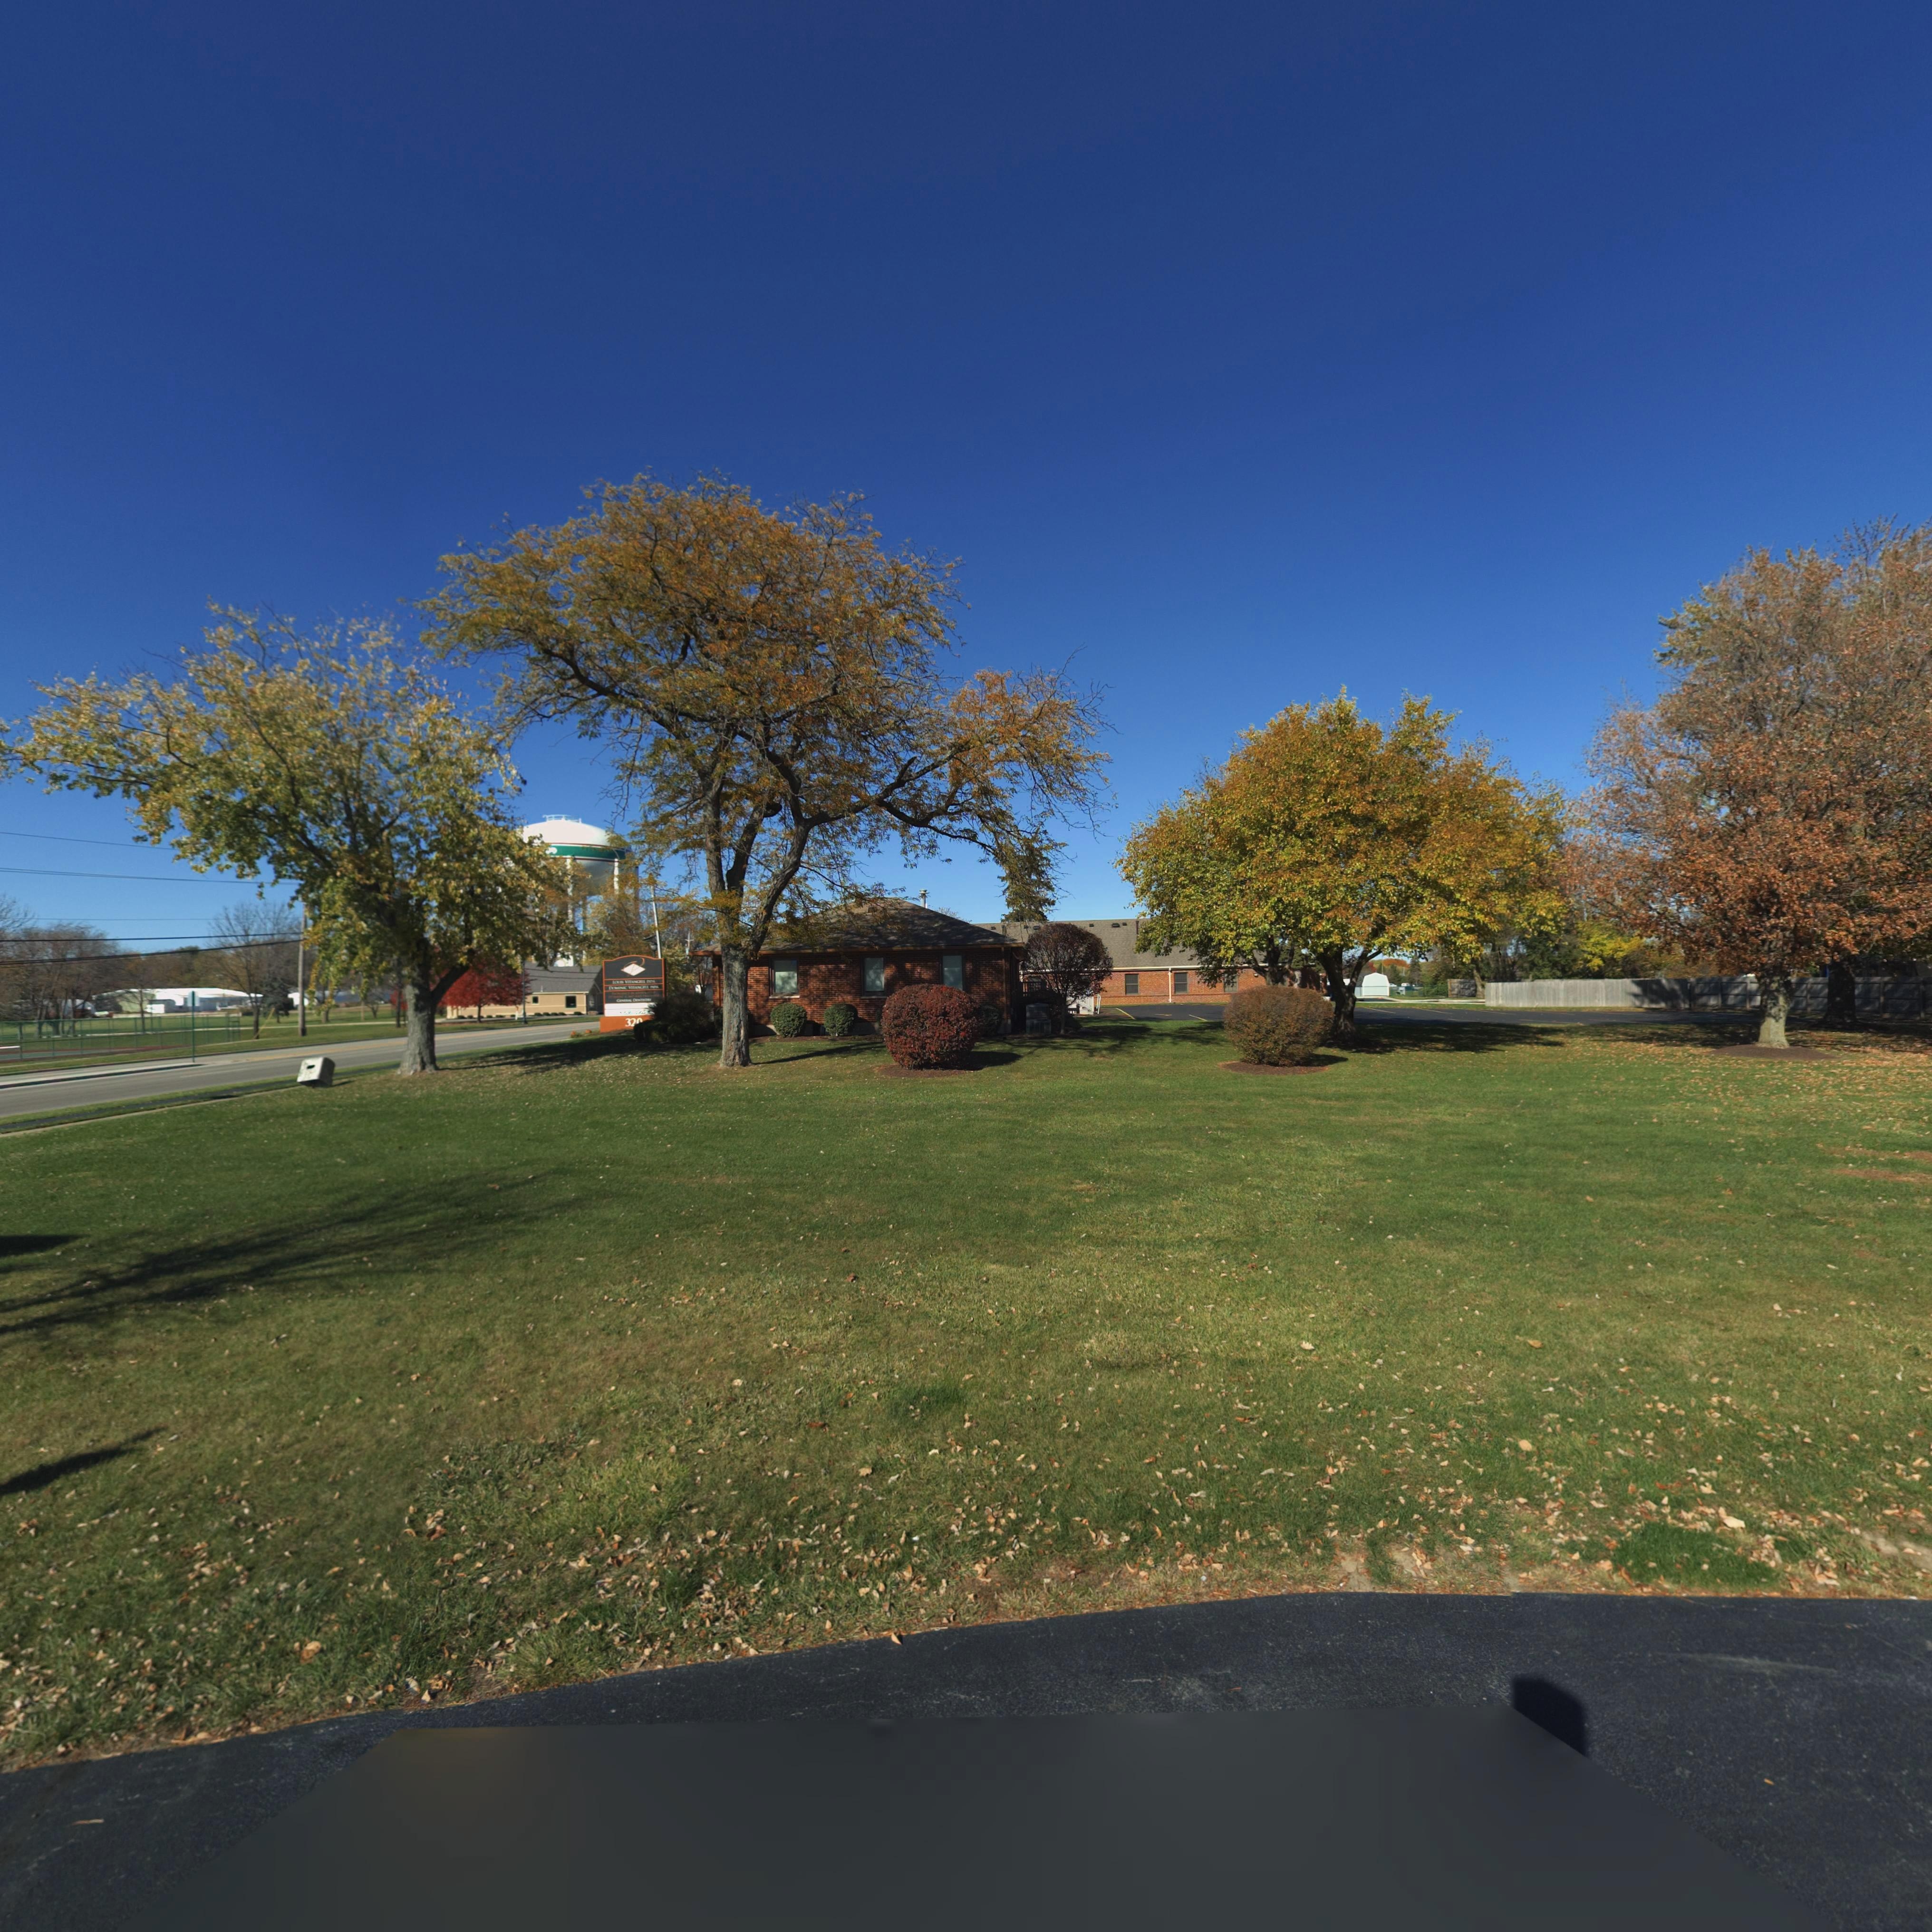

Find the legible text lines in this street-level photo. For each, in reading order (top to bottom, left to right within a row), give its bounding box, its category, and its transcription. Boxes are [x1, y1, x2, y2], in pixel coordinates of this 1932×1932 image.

[624, 1016, 644, 1028] StreetNumber: 3**